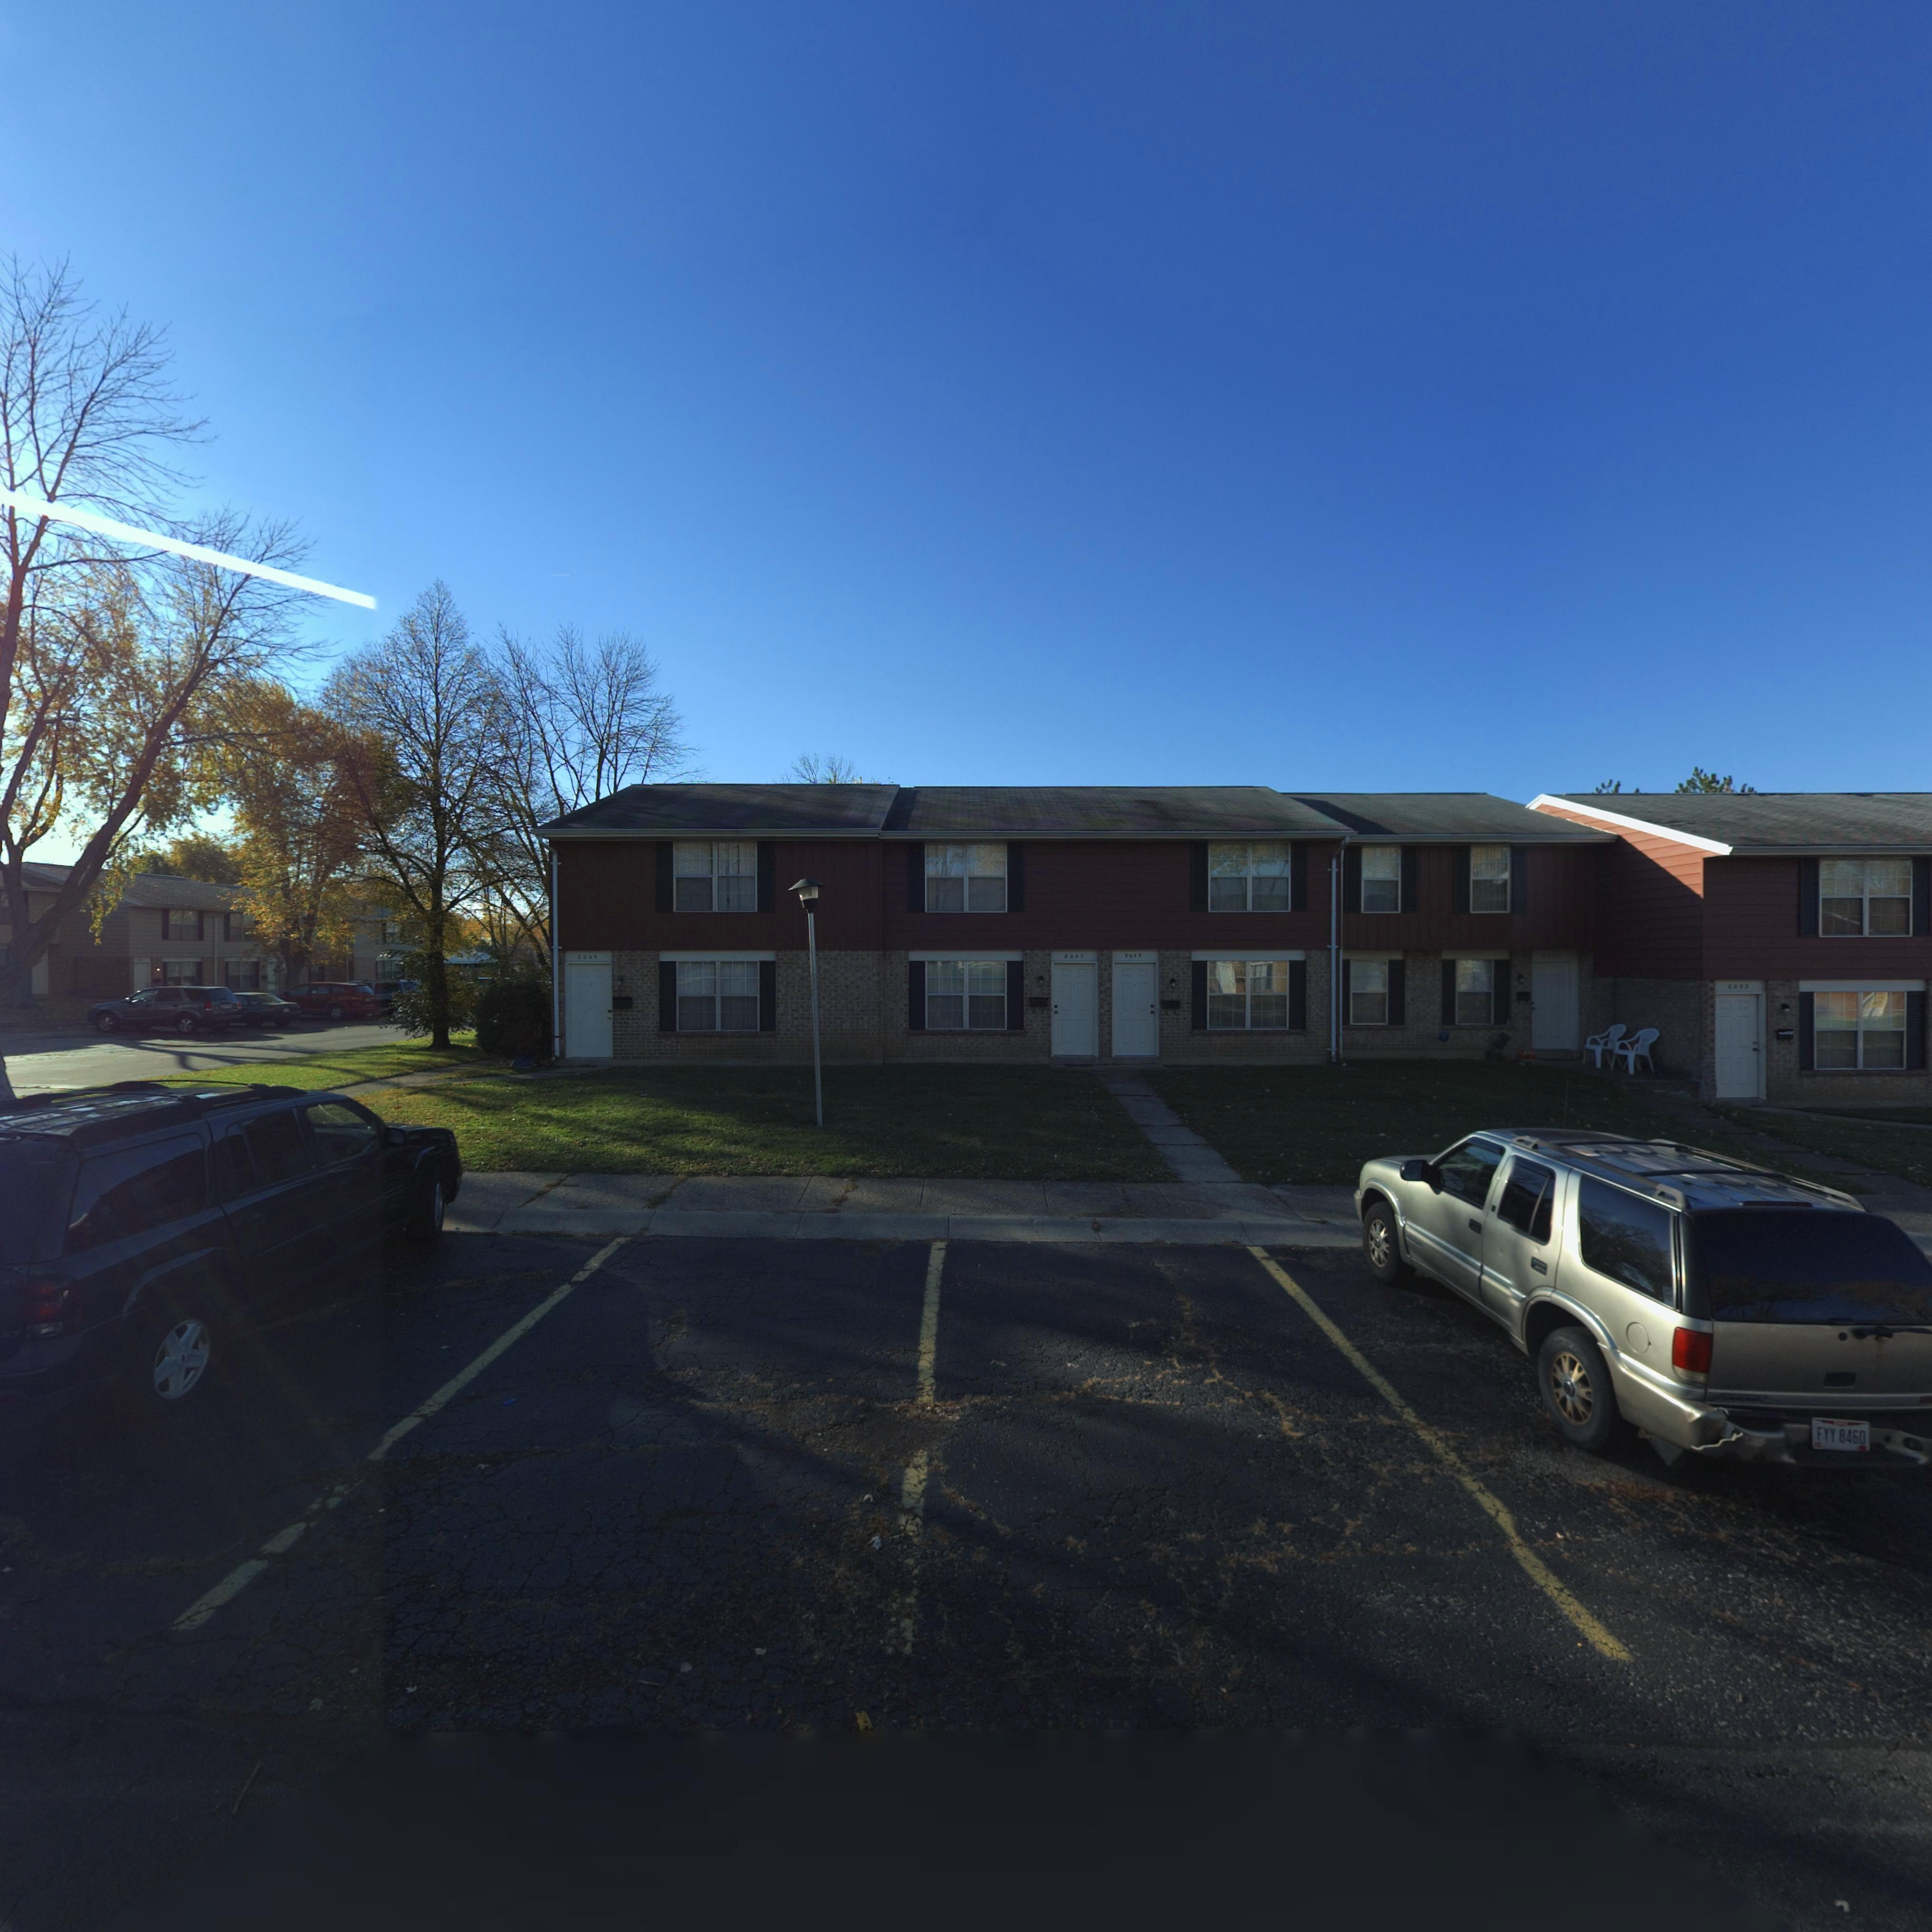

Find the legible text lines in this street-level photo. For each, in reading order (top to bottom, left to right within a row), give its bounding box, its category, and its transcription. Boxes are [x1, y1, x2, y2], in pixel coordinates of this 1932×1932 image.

[577, 953, 599, 961] StreetNumber: 8045
[1063, 953, 1085, 959] StreetNumber: 8047
[1124, 952, 1143, 960] StreetNumber: 80*9
[1727, 983, 1750, 990] StreetNumber: *0**
[1814, 1425, 1870, 1446] None: FYY 8460